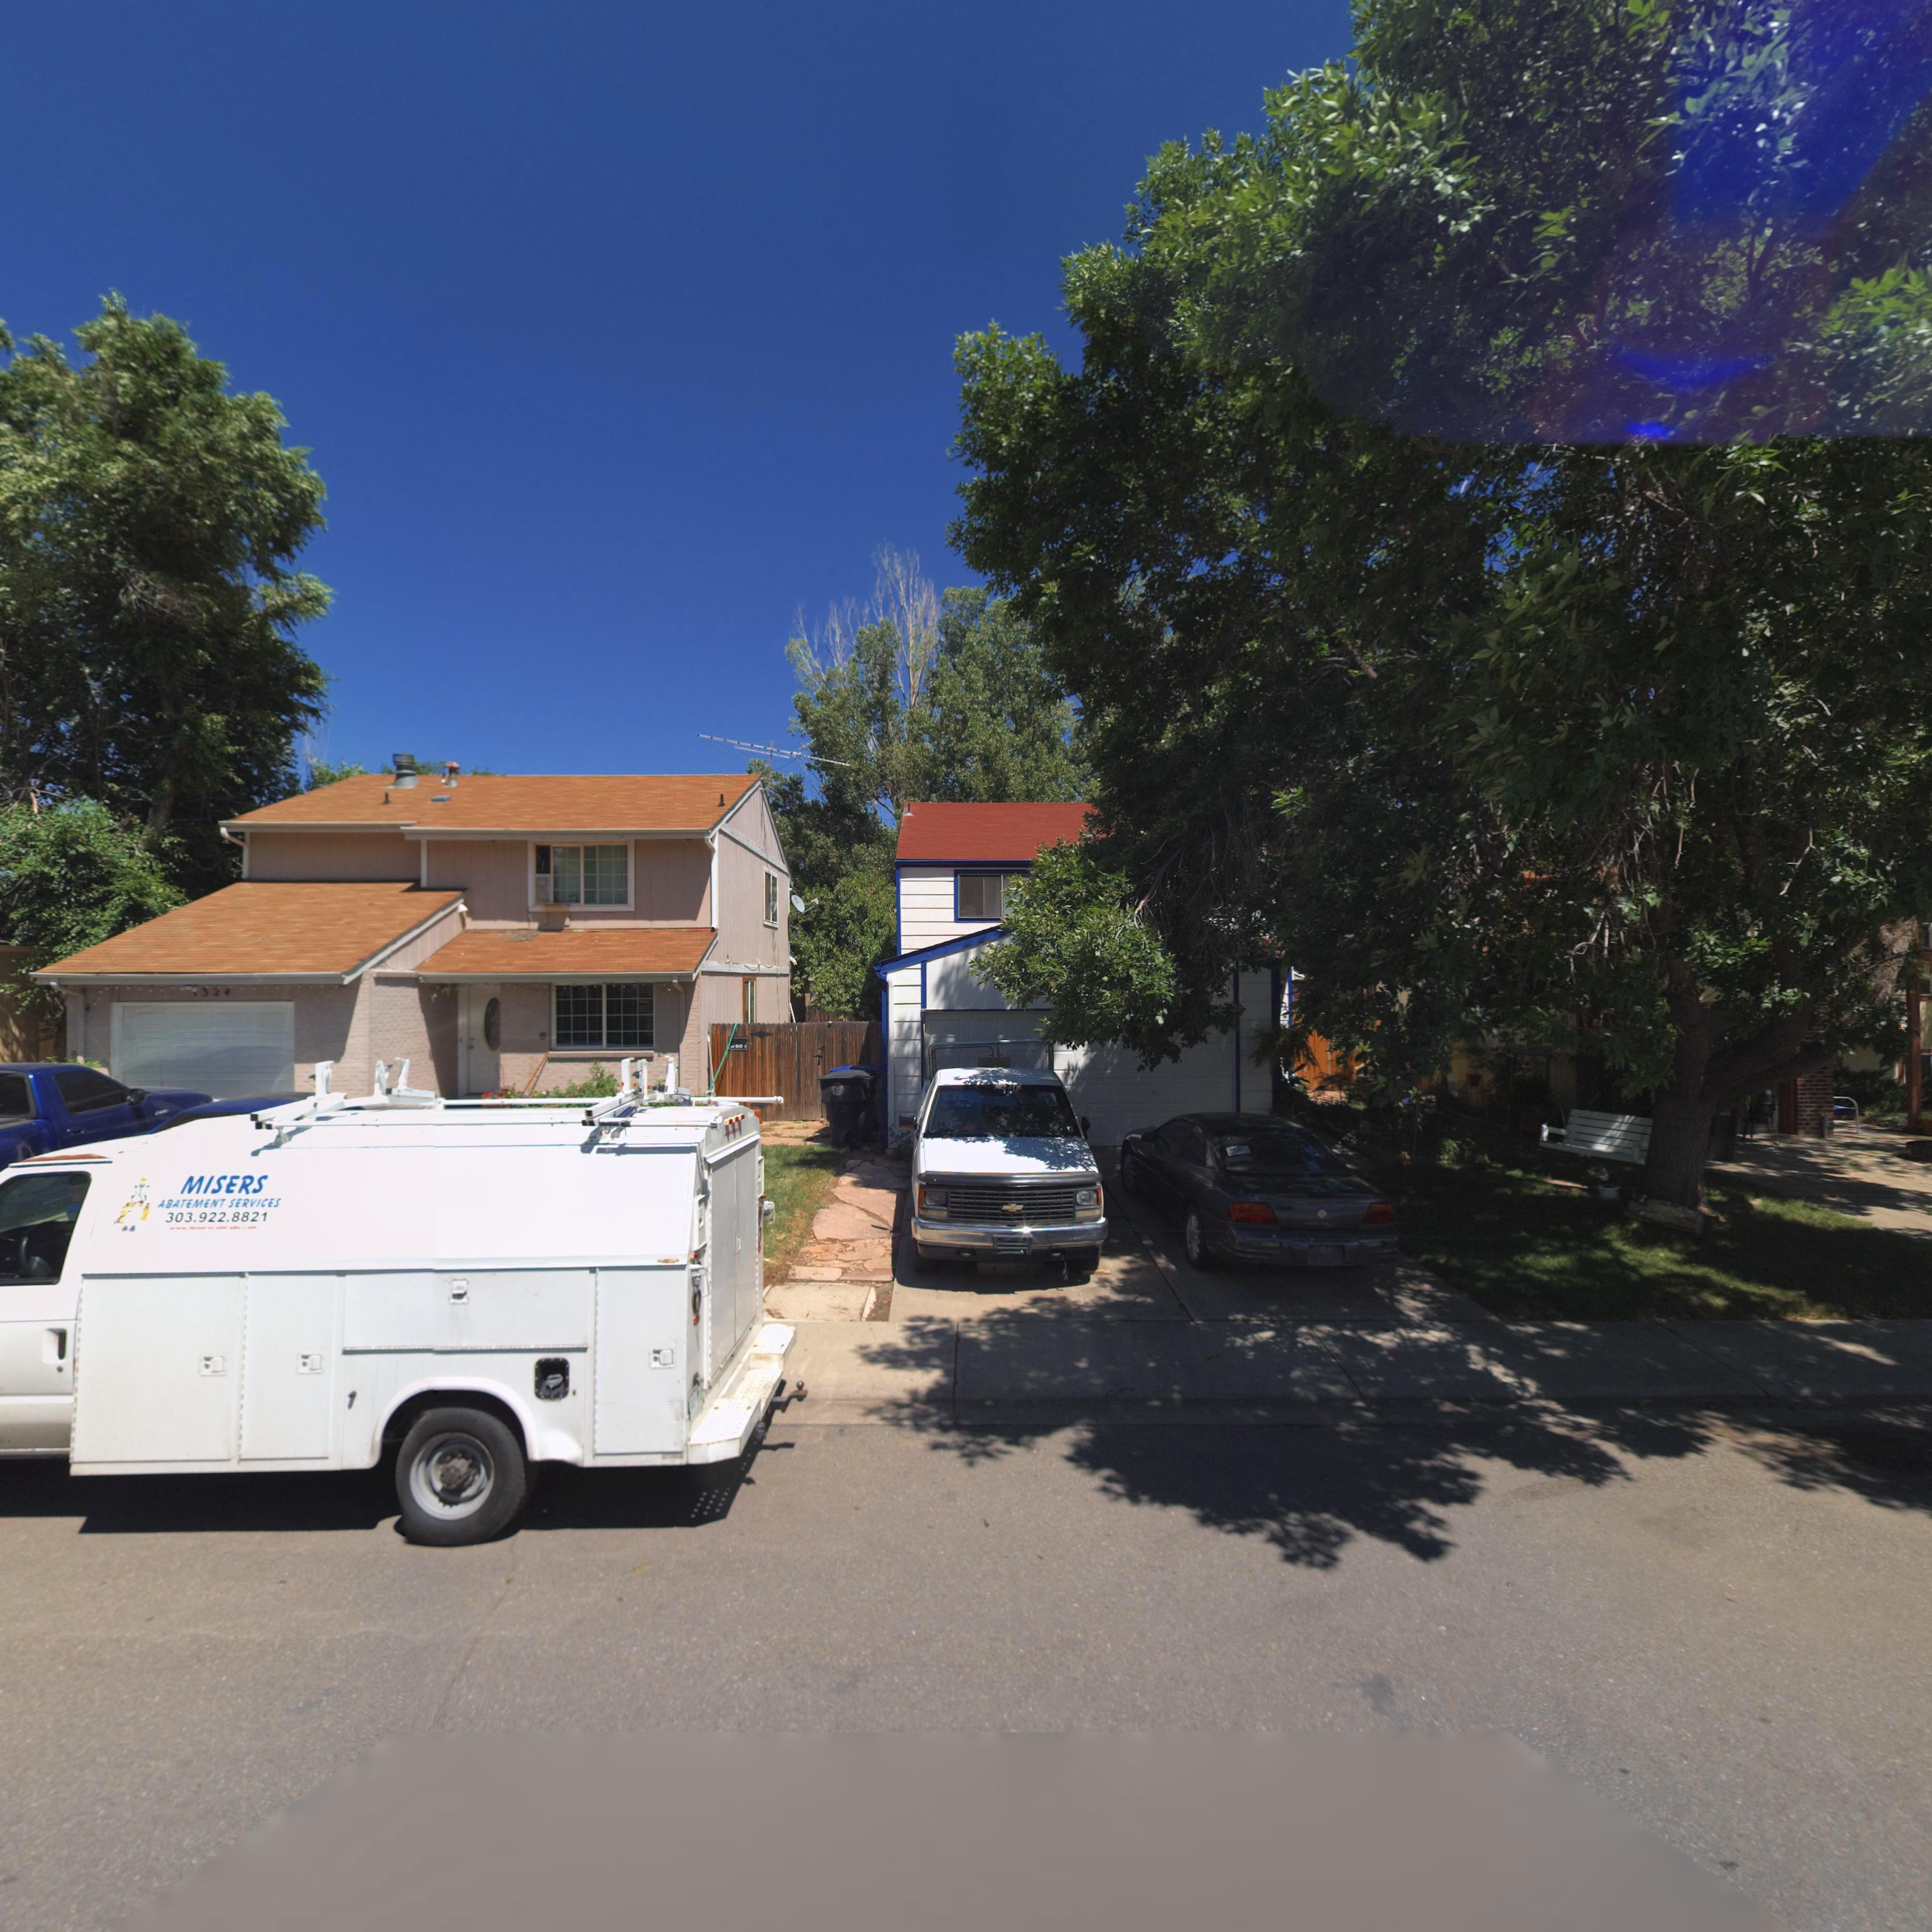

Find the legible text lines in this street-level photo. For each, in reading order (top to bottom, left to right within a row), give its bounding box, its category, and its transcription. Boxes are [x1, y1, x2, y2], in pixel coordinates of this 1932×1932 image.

[193, 986, 231, 997] StreetNumber: *324